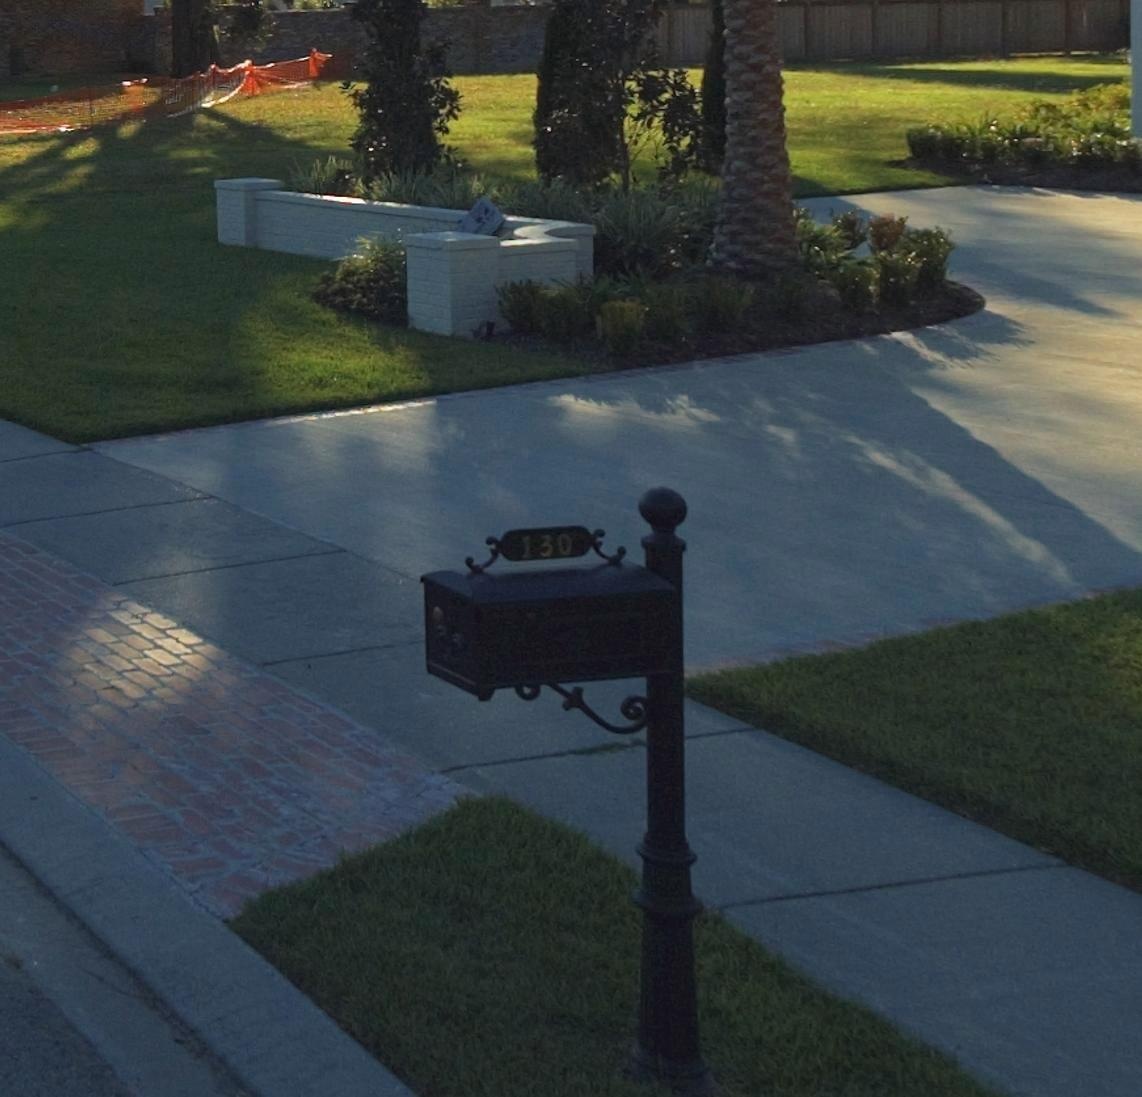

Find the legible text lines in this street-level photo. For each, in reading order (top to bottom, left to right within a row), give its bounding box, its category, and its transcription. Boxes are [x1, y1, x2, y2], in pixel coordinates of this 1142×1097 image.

[519, 531, 575, 560] StreetNumber: 130